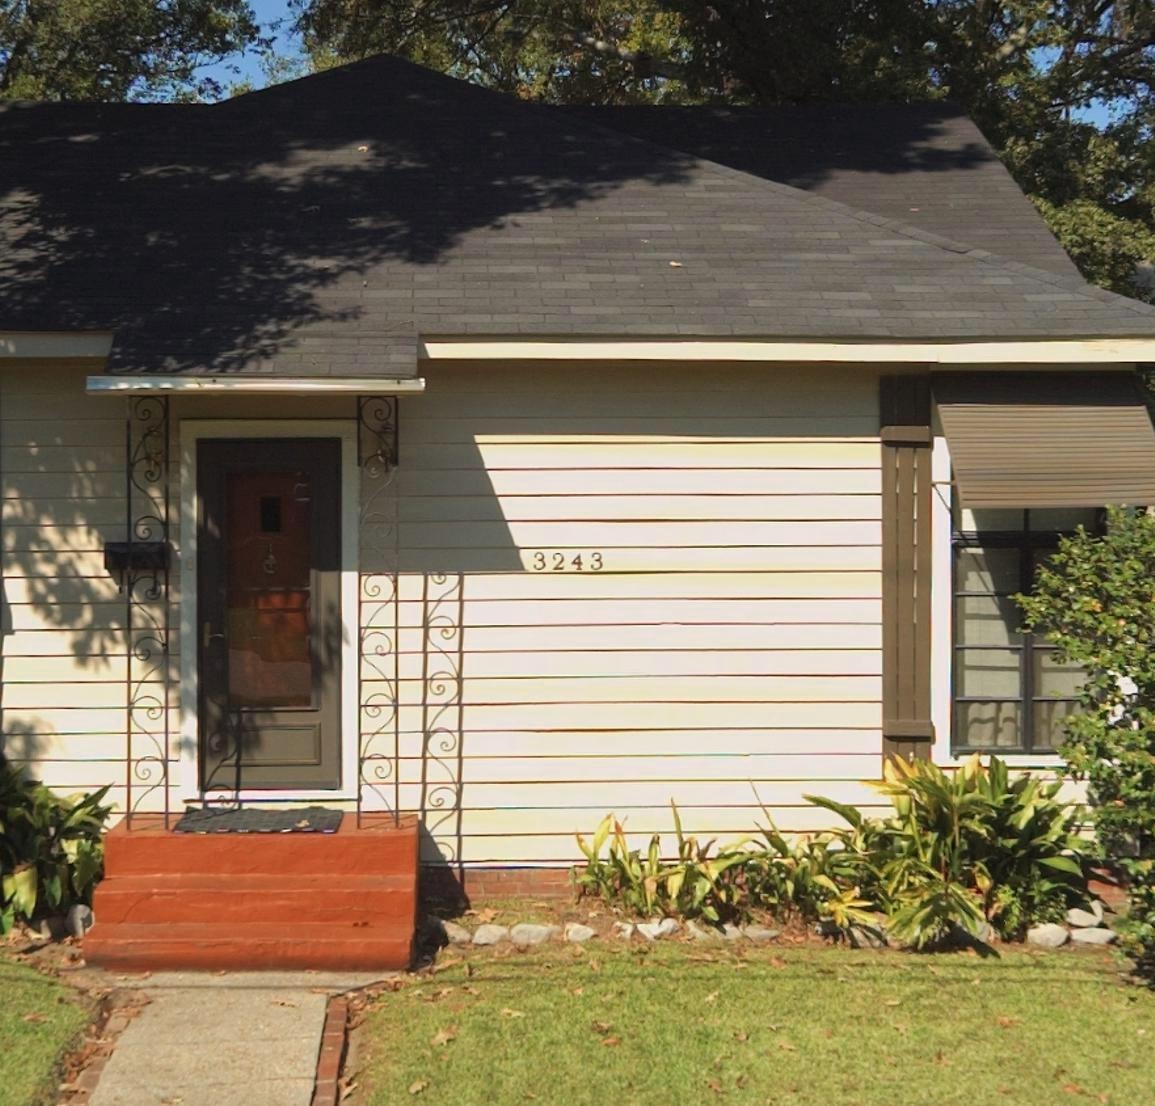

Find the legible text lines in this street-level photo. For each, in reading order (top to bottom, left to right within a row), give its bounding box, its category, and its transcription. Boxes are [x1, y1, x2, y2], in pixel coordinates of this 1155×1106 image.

[532, 550, 604, 571] StreetNumber: 3243